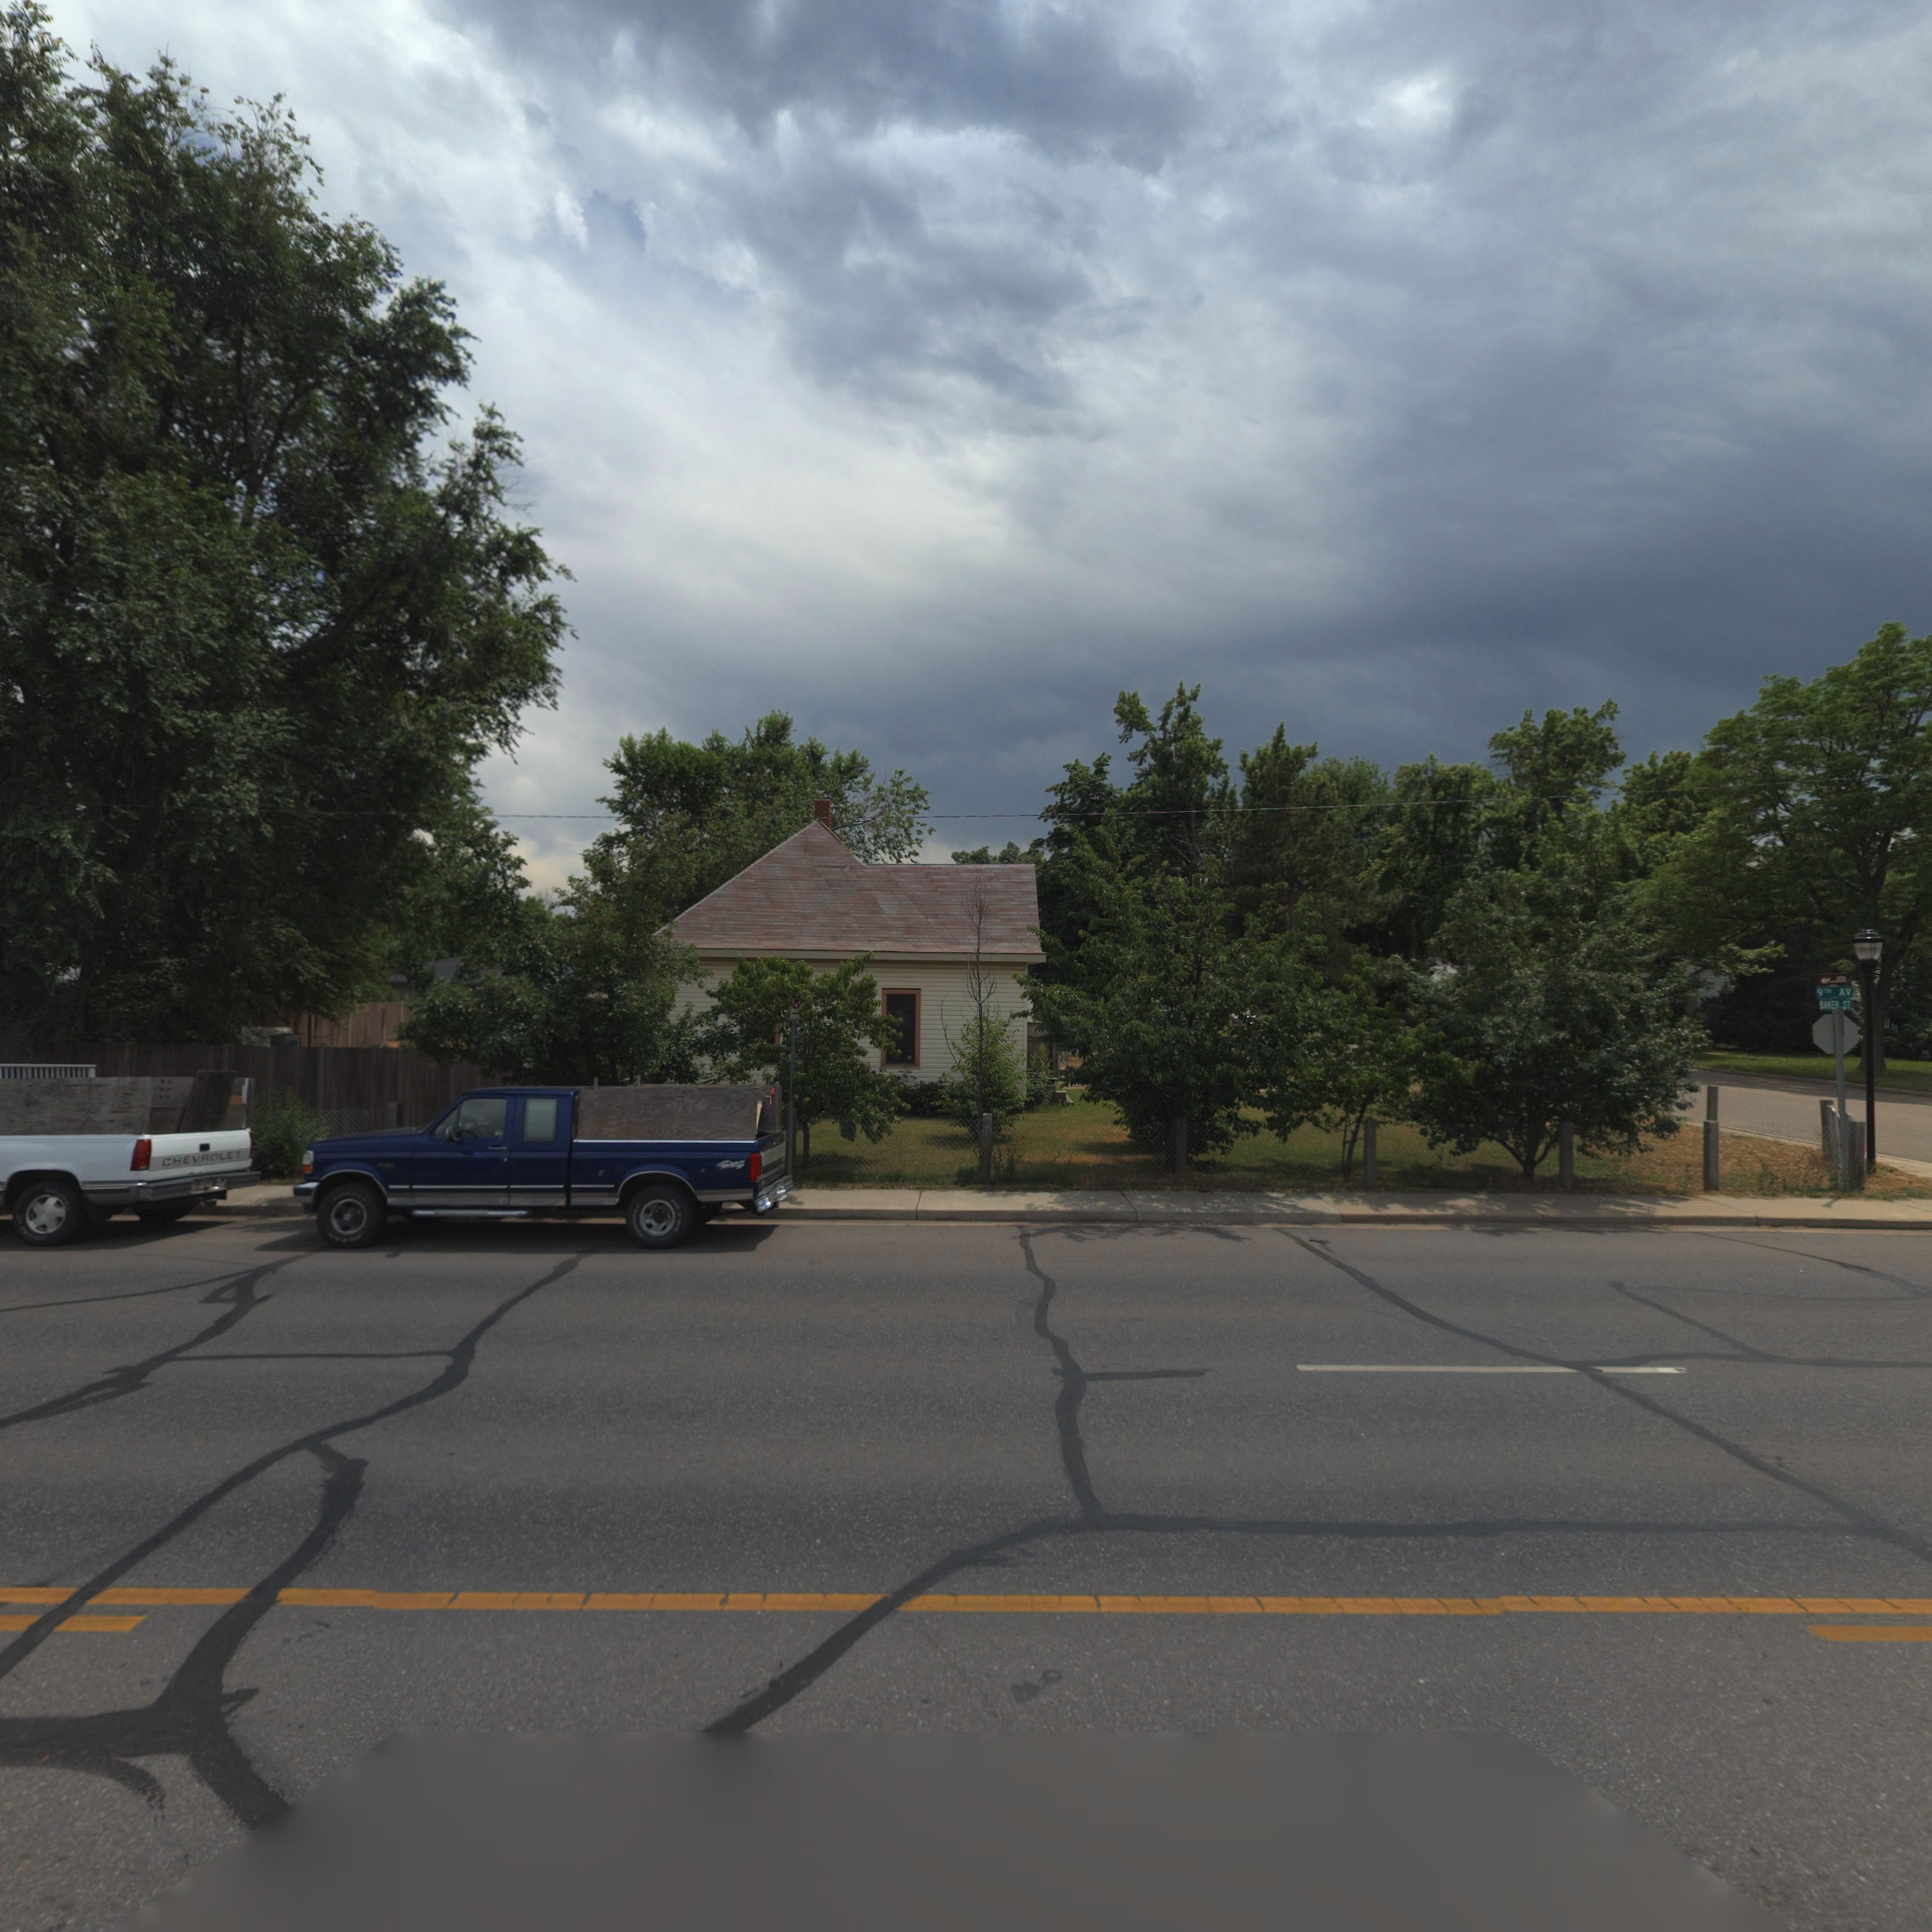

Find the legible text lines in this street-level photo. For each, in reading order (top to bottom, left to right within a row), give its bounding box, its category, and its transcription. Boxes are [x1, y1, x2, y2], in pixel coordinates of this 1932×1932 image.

[1816, 987, 1852, 997] StreetName: 9TH AV
[1819, 1000, 1850, 1009] StreetName: BA*ER ST